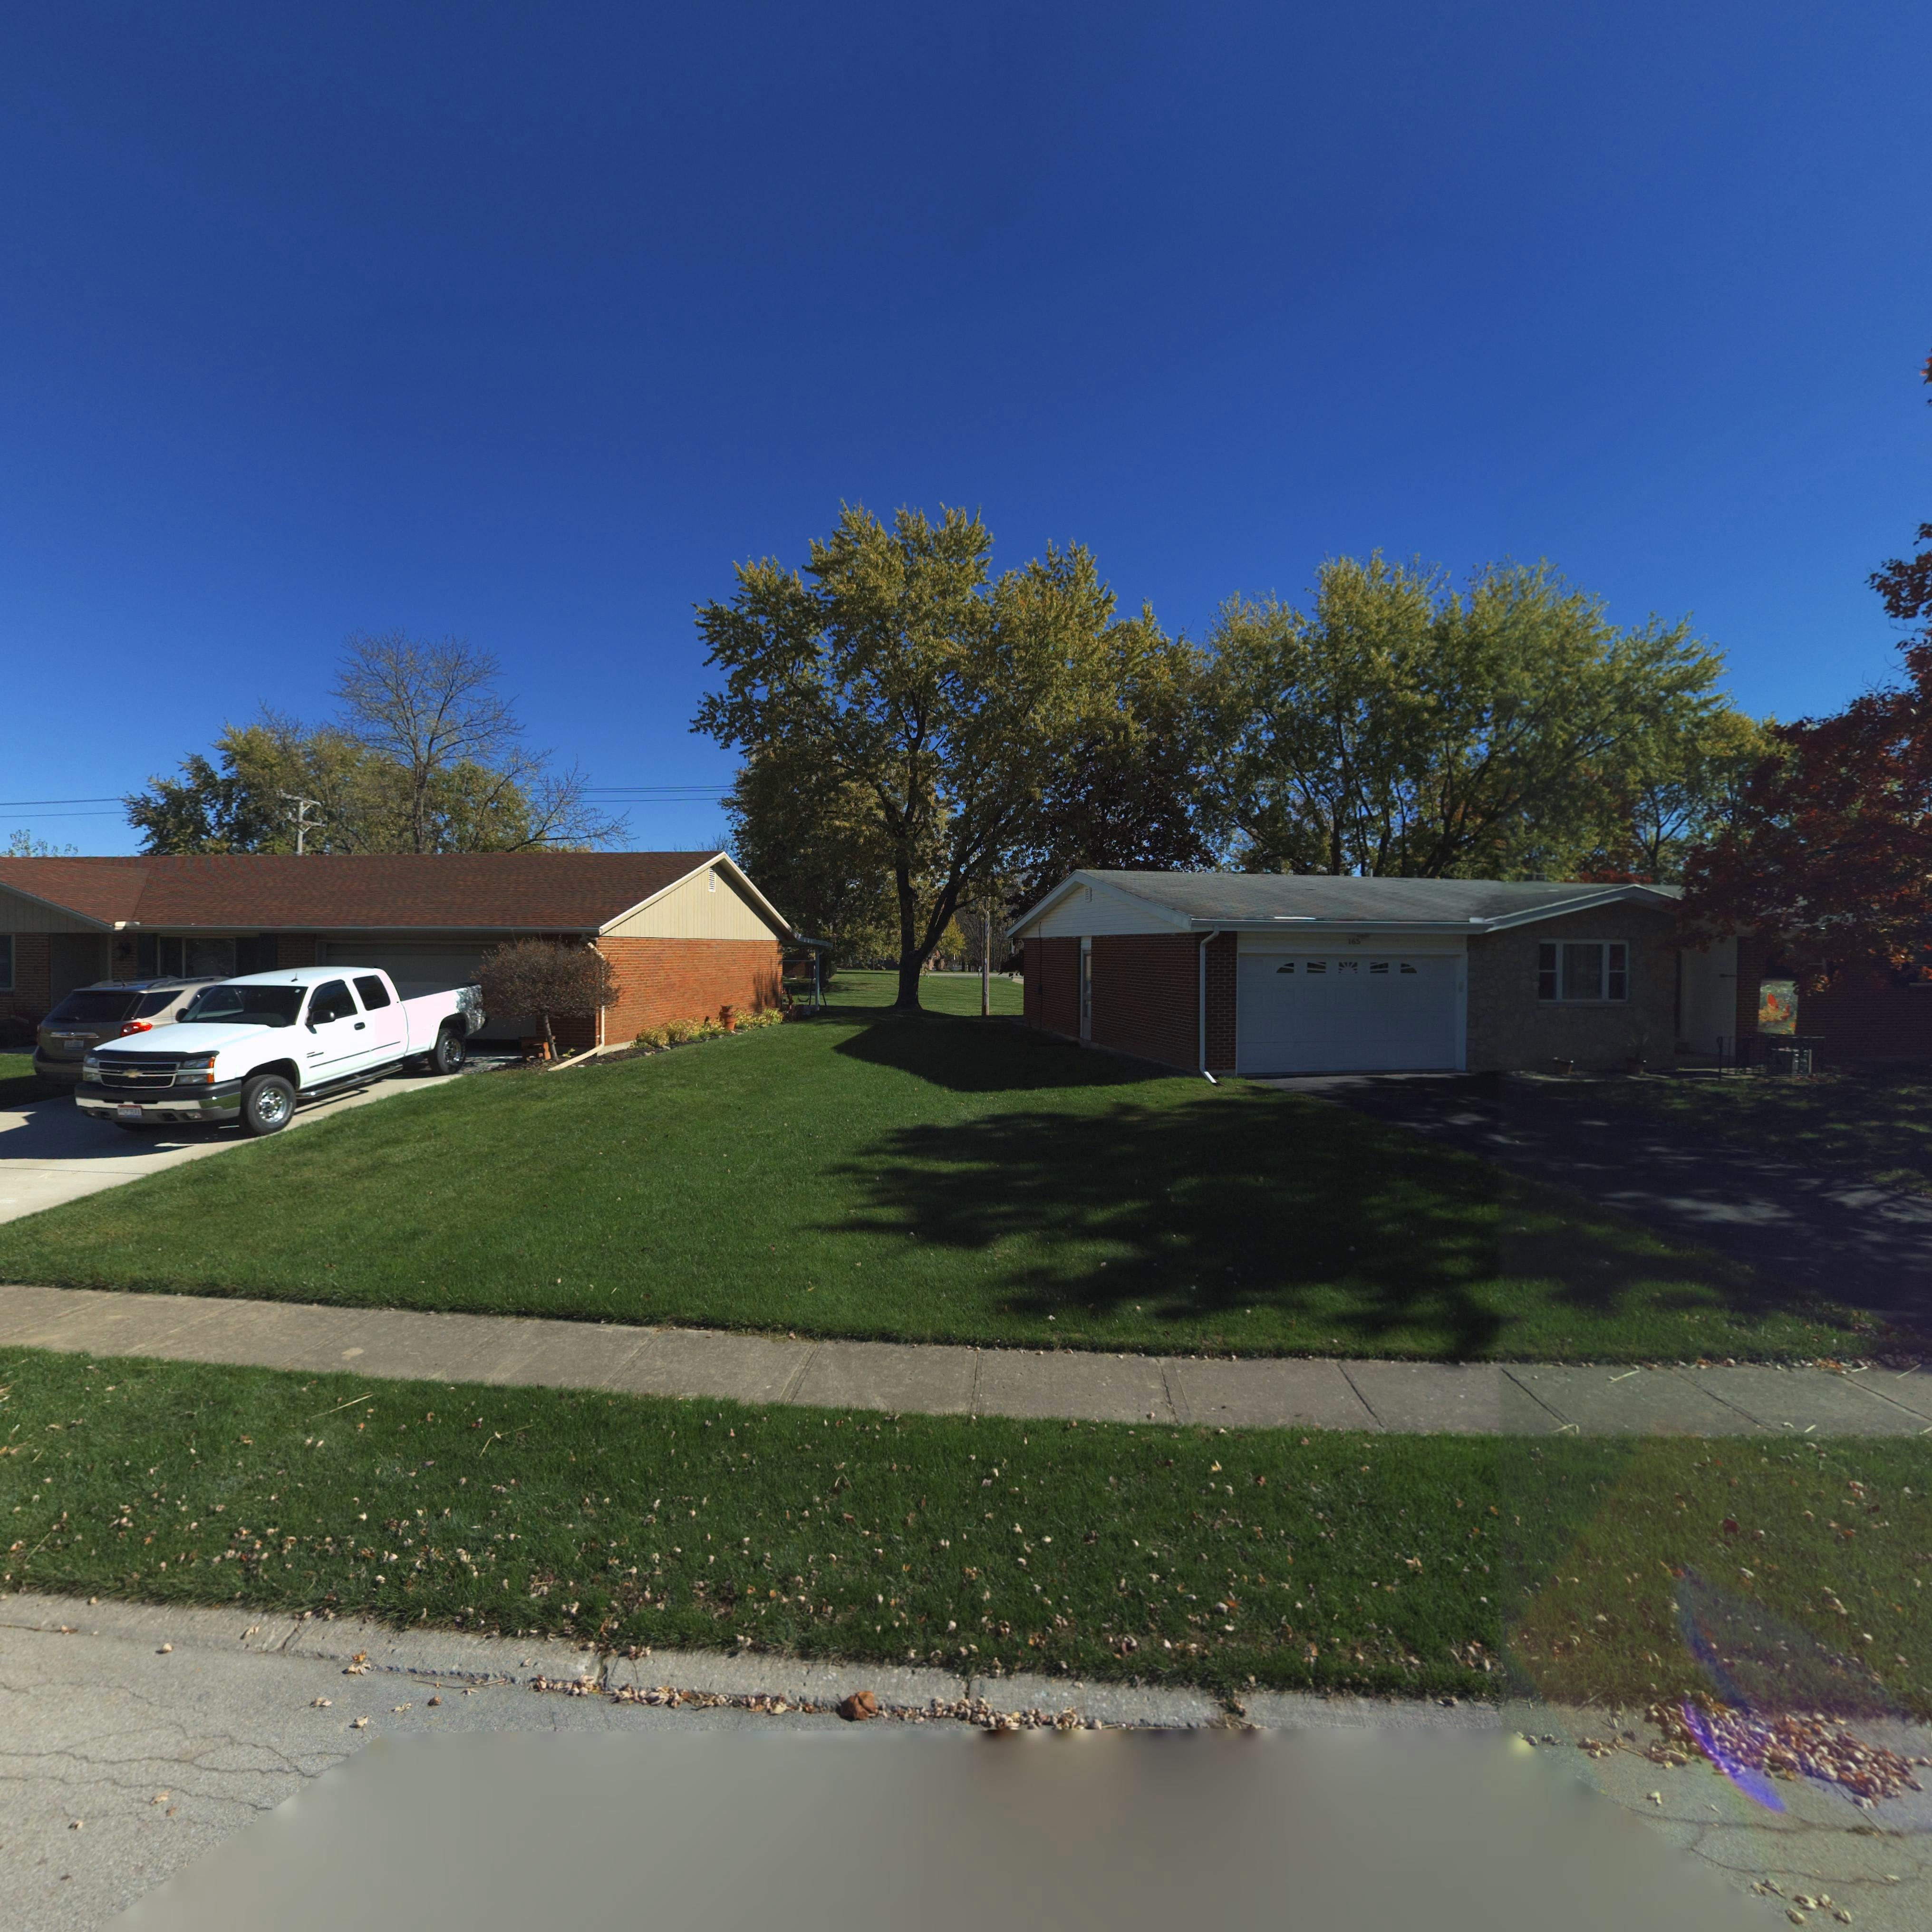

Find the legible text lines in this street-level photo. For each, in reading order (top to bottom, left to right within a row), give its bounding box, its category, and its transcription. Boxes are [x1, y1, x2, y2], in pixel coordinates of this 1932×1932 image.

[1348, 937, 1362, 946] StreetNumber: 165